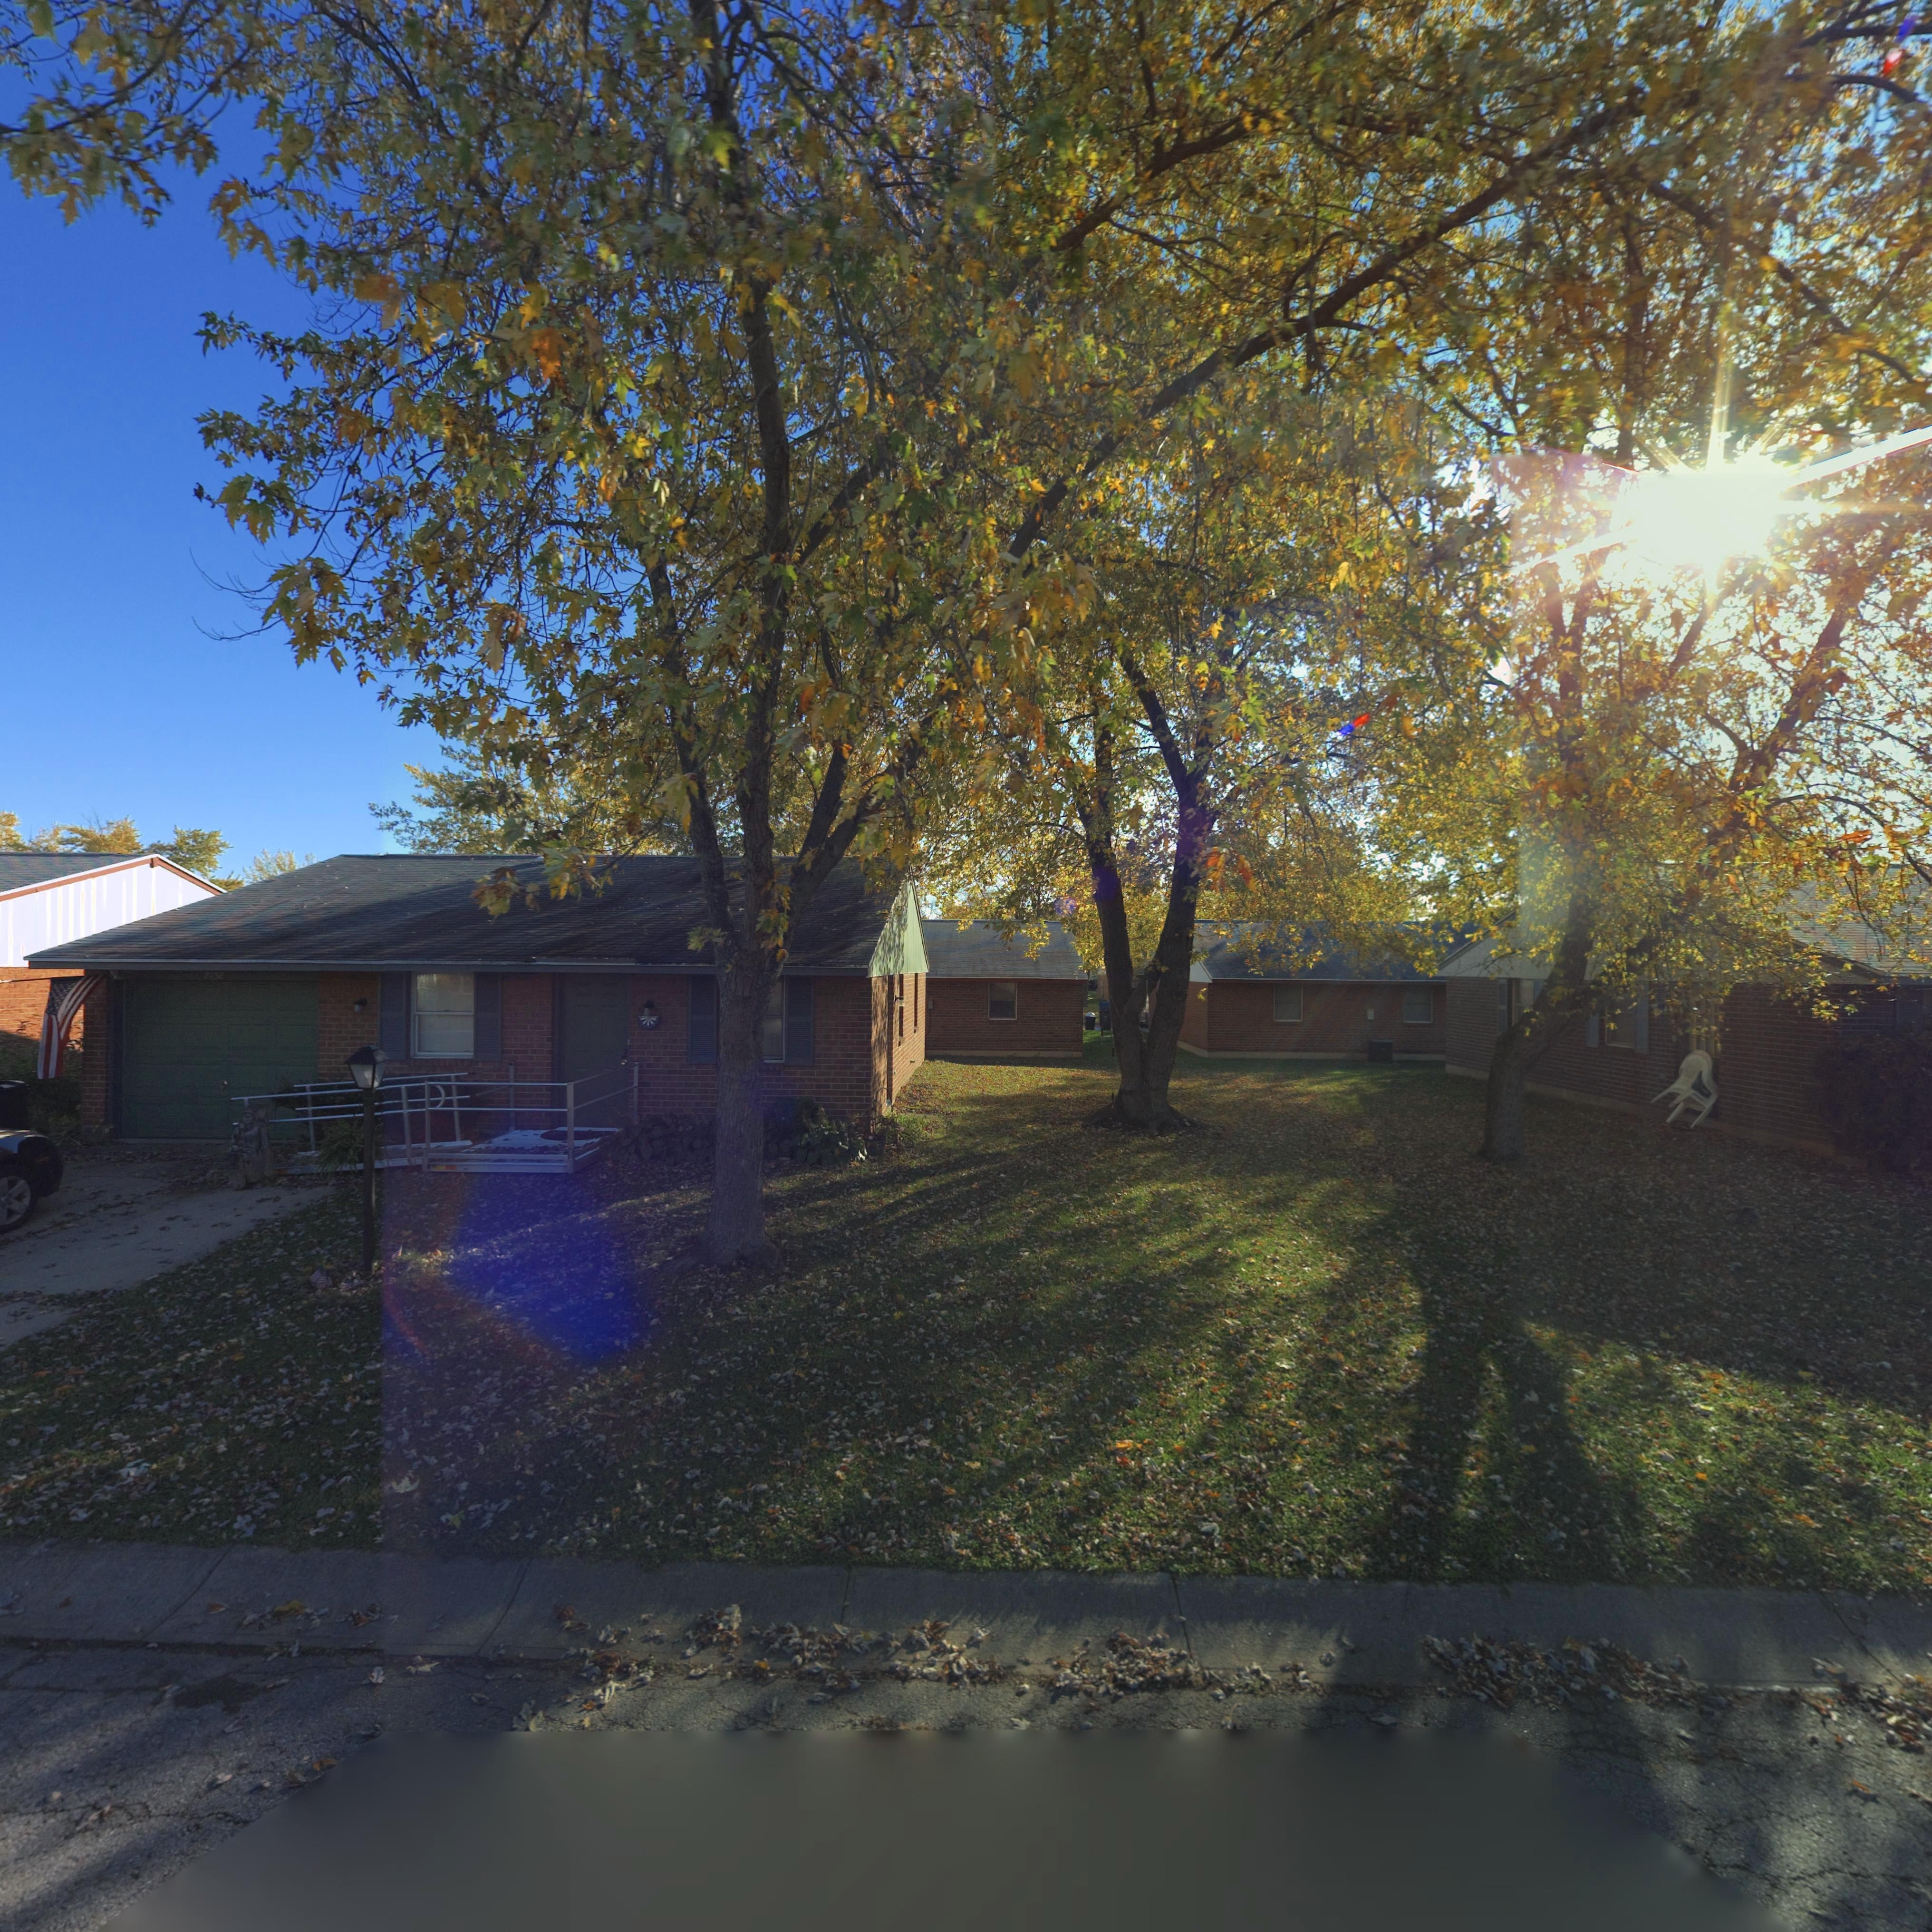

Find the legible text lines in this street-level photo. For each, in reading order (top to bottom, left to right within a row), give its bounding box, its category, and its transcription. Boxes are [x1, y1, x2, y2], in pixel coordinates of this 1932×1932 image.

[203, 971, 225, 979] StreetNumber: 8158